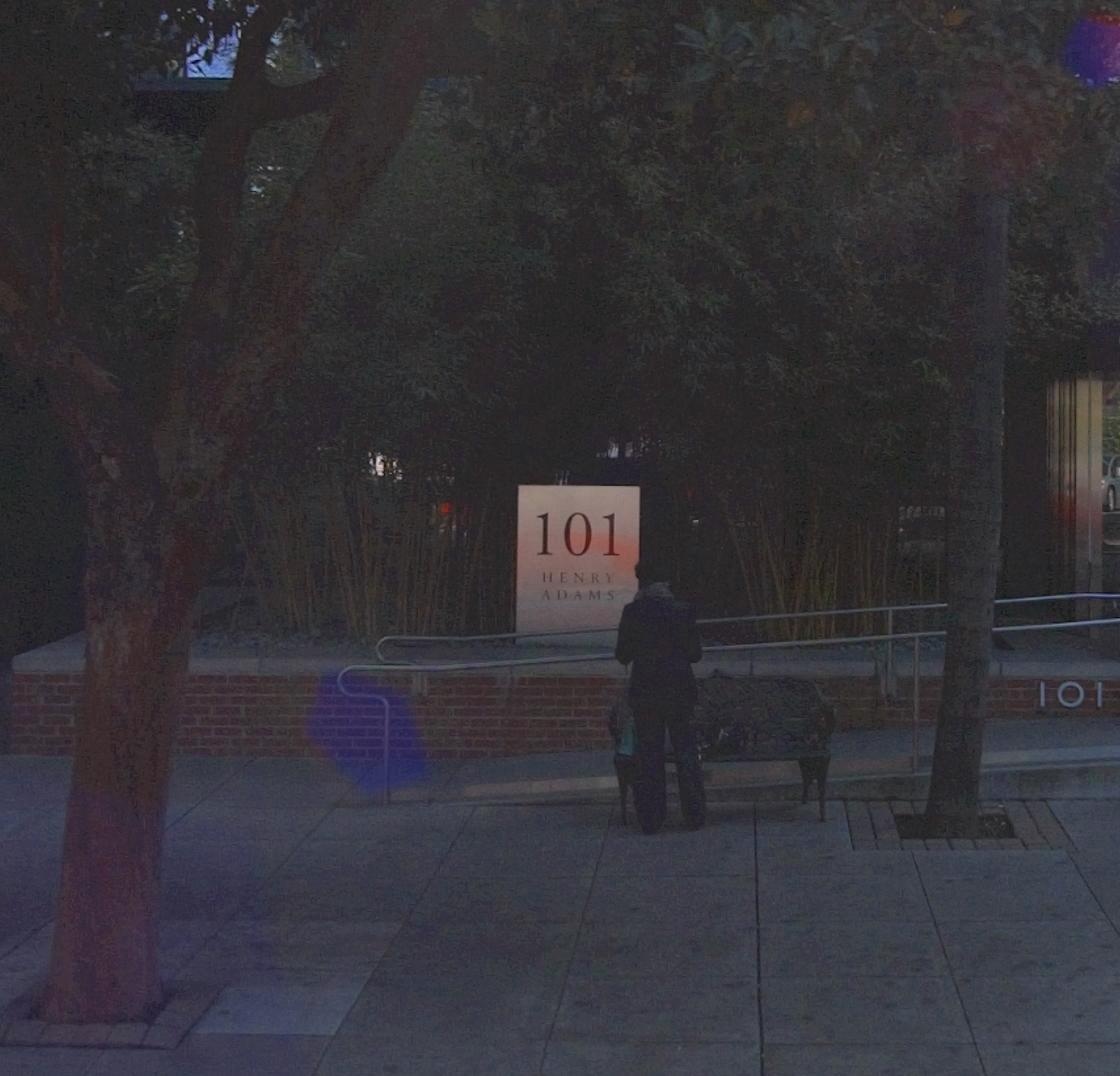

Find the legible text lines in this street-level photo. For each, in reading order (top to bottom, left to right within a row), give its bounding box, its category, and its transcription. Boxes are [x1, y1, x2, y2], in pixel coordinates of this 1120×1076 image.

[534, 509, 622, 558] StreetNumber: 101
[540, 570, 618, 585] None: HENRY
[539, 587, 617, 603] None: ADAMS
[1037, 678, 1105, 711] StreetNumber: 101